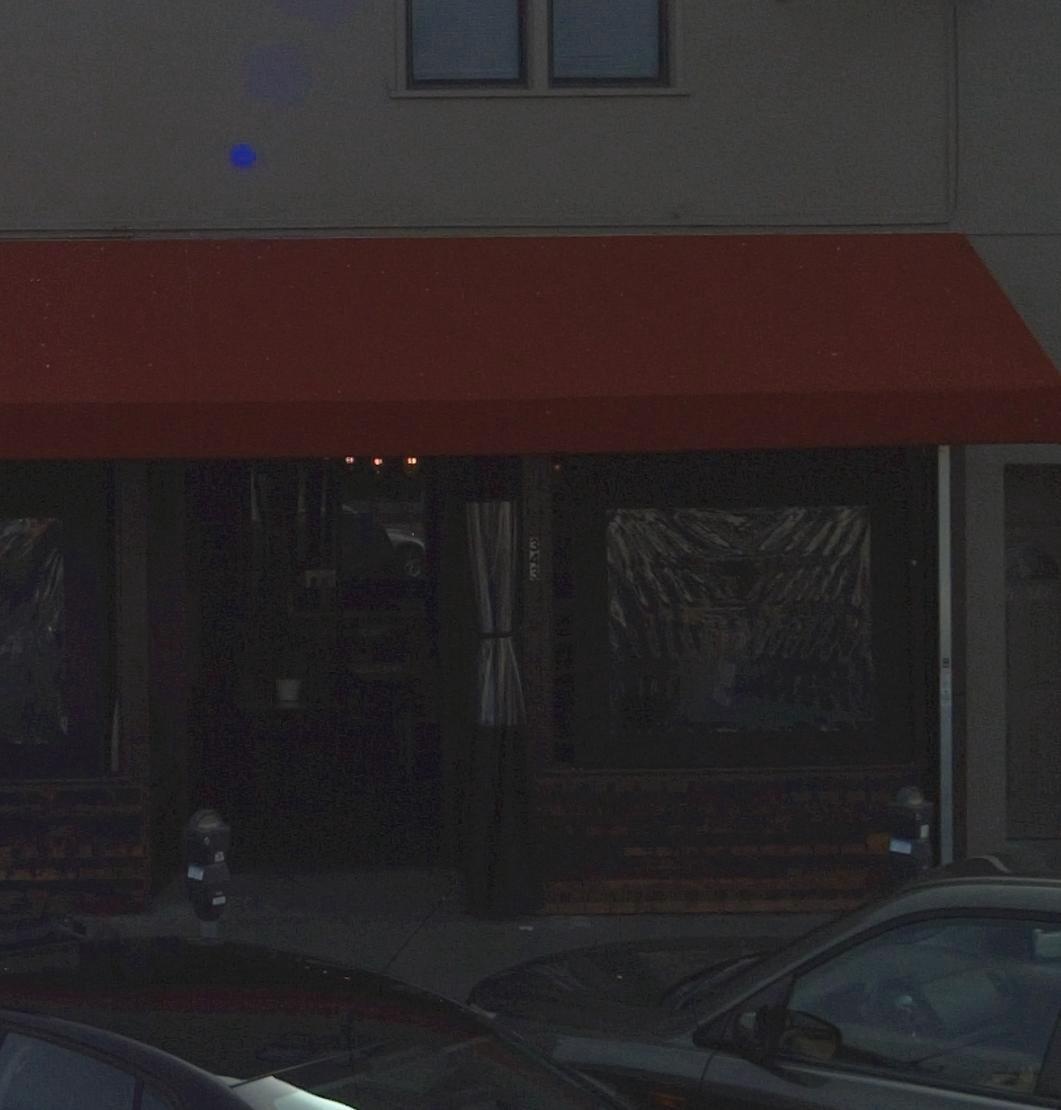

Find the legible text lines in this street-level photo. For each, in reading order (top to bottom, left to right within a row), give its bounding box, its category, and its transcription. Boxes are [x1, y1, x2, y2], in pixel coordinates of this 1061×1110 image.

[530, 536, 541, 581] StreetNumber: 343